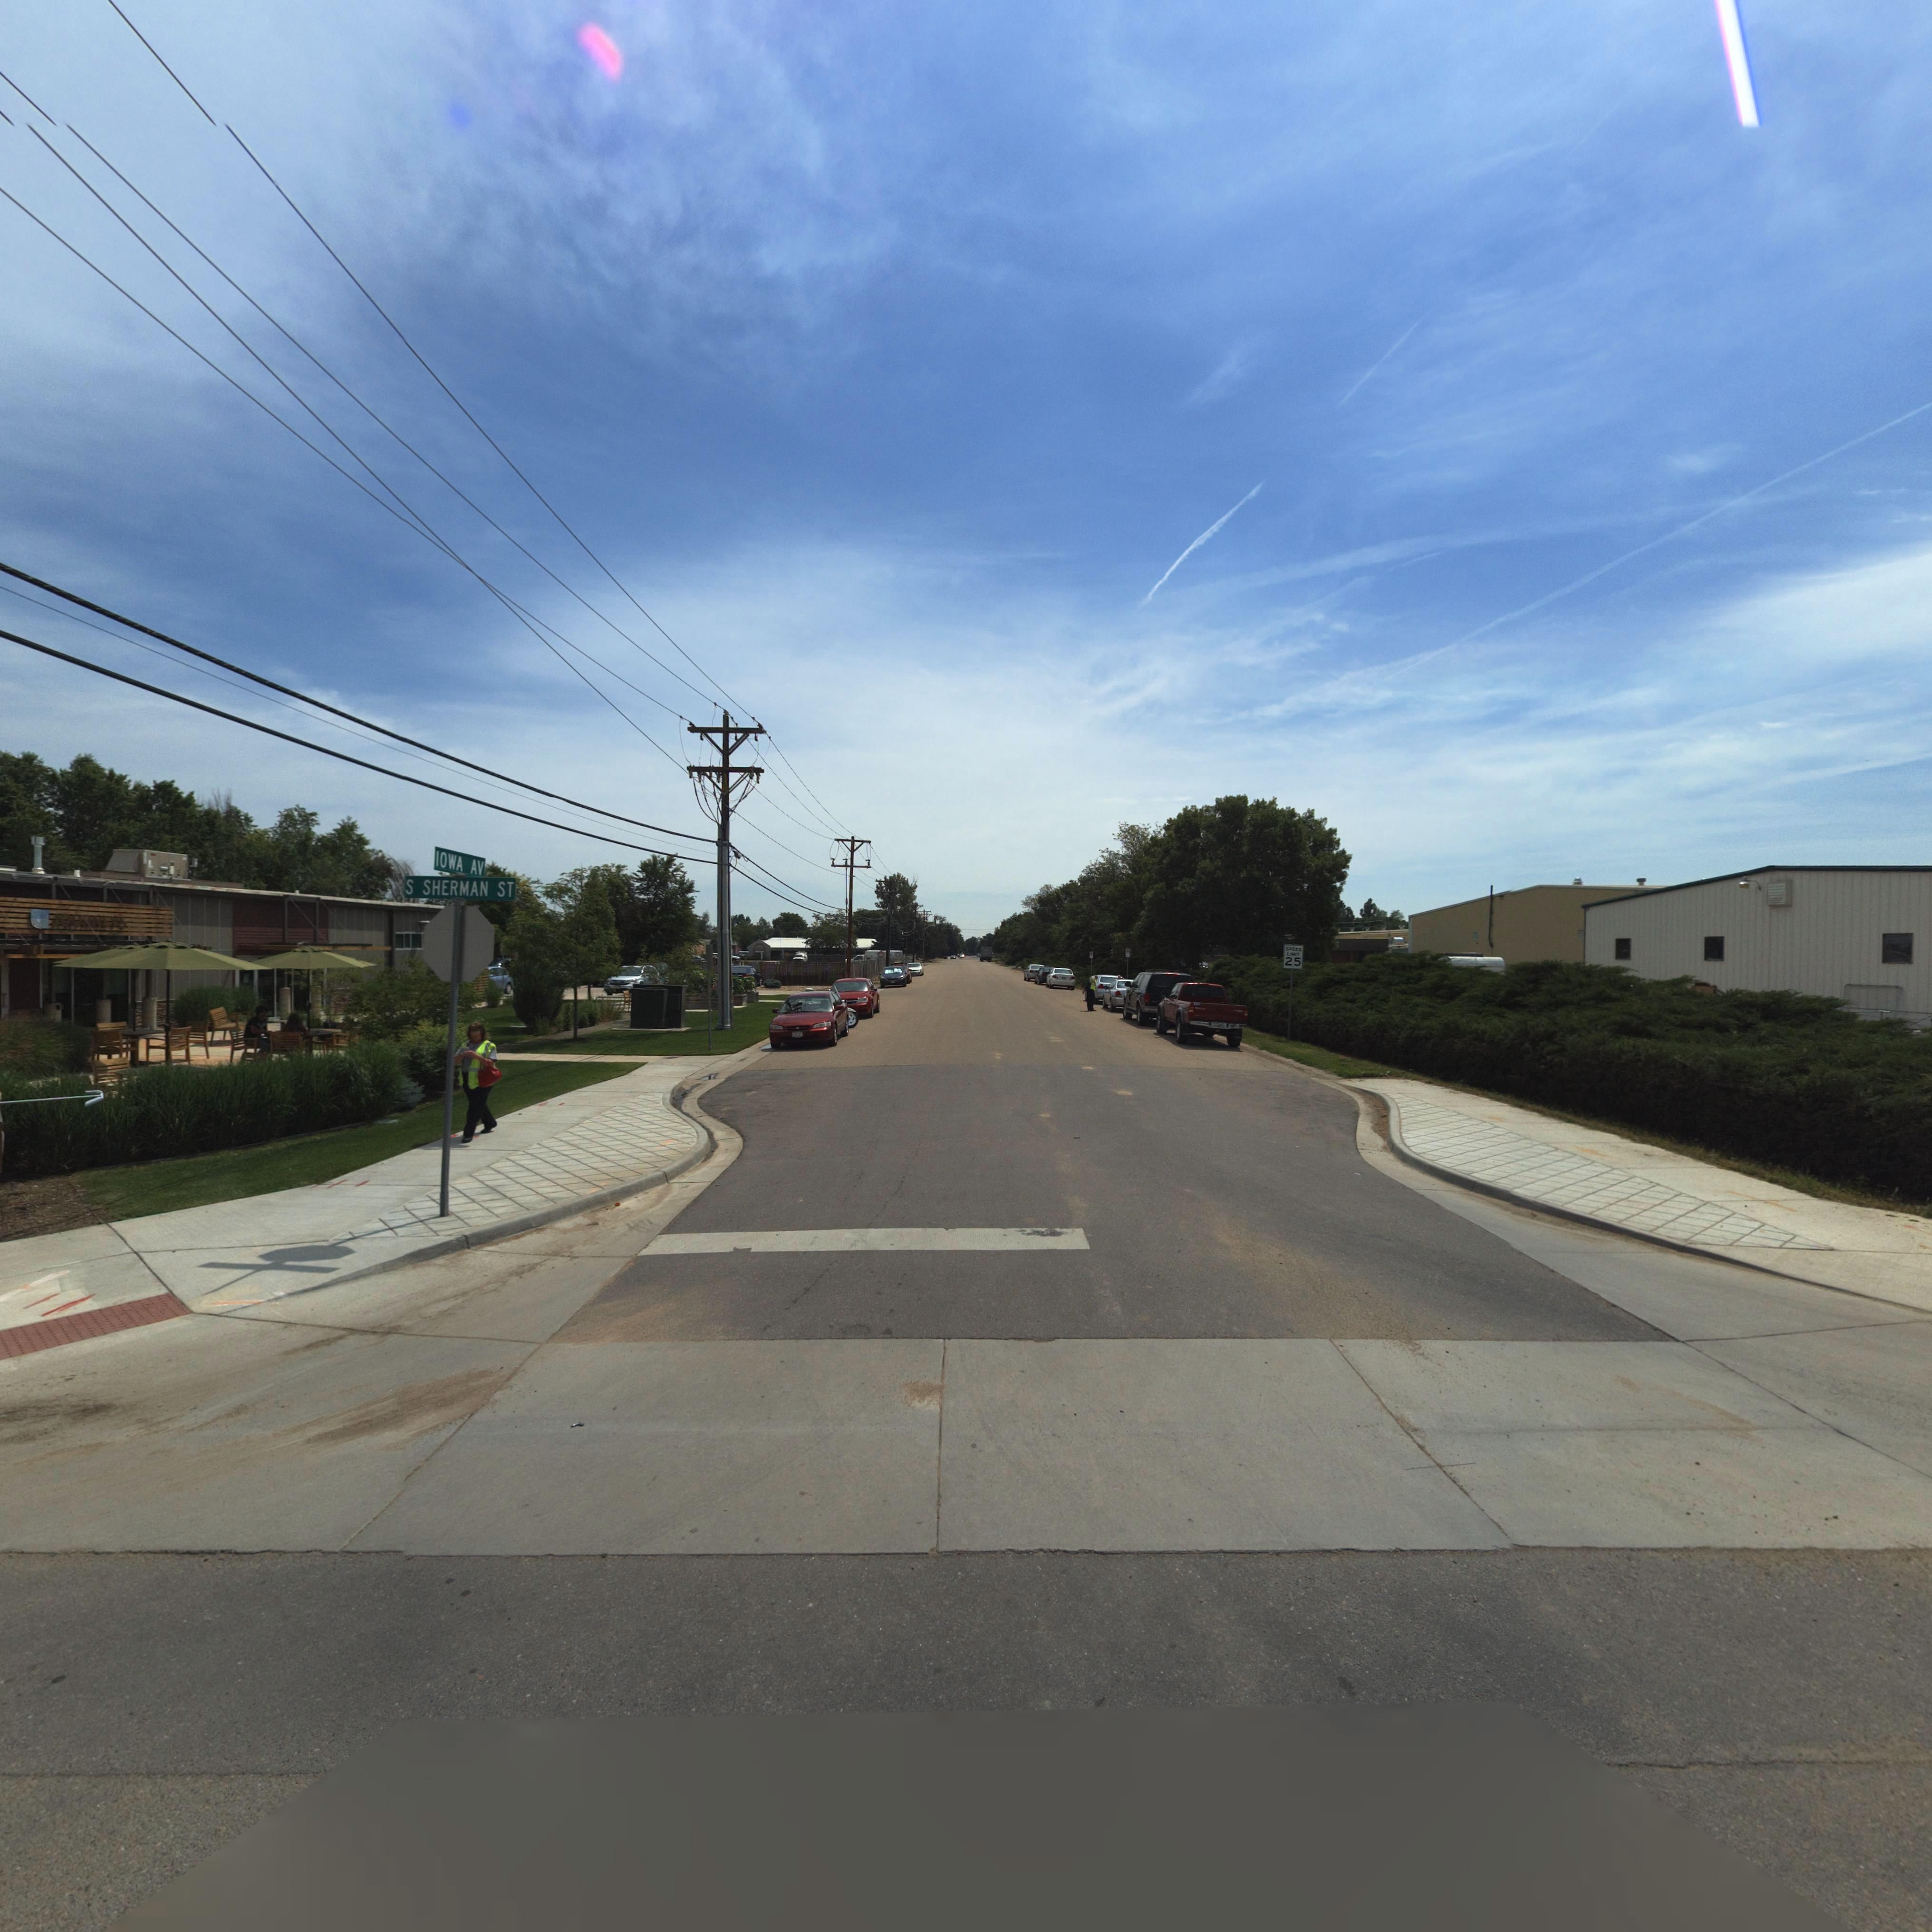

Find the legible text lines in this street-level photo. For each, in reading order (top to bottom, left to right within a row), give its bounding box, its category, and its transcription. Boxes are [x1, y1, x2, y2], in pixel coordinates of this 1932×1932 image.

[435, 850, 484, 876] StreetNumber: IOWA AV
[405, 879, 514, 897] StreetName: S SHERMAN ST
[50, 913, 128, 932] BusinessName: *****y's